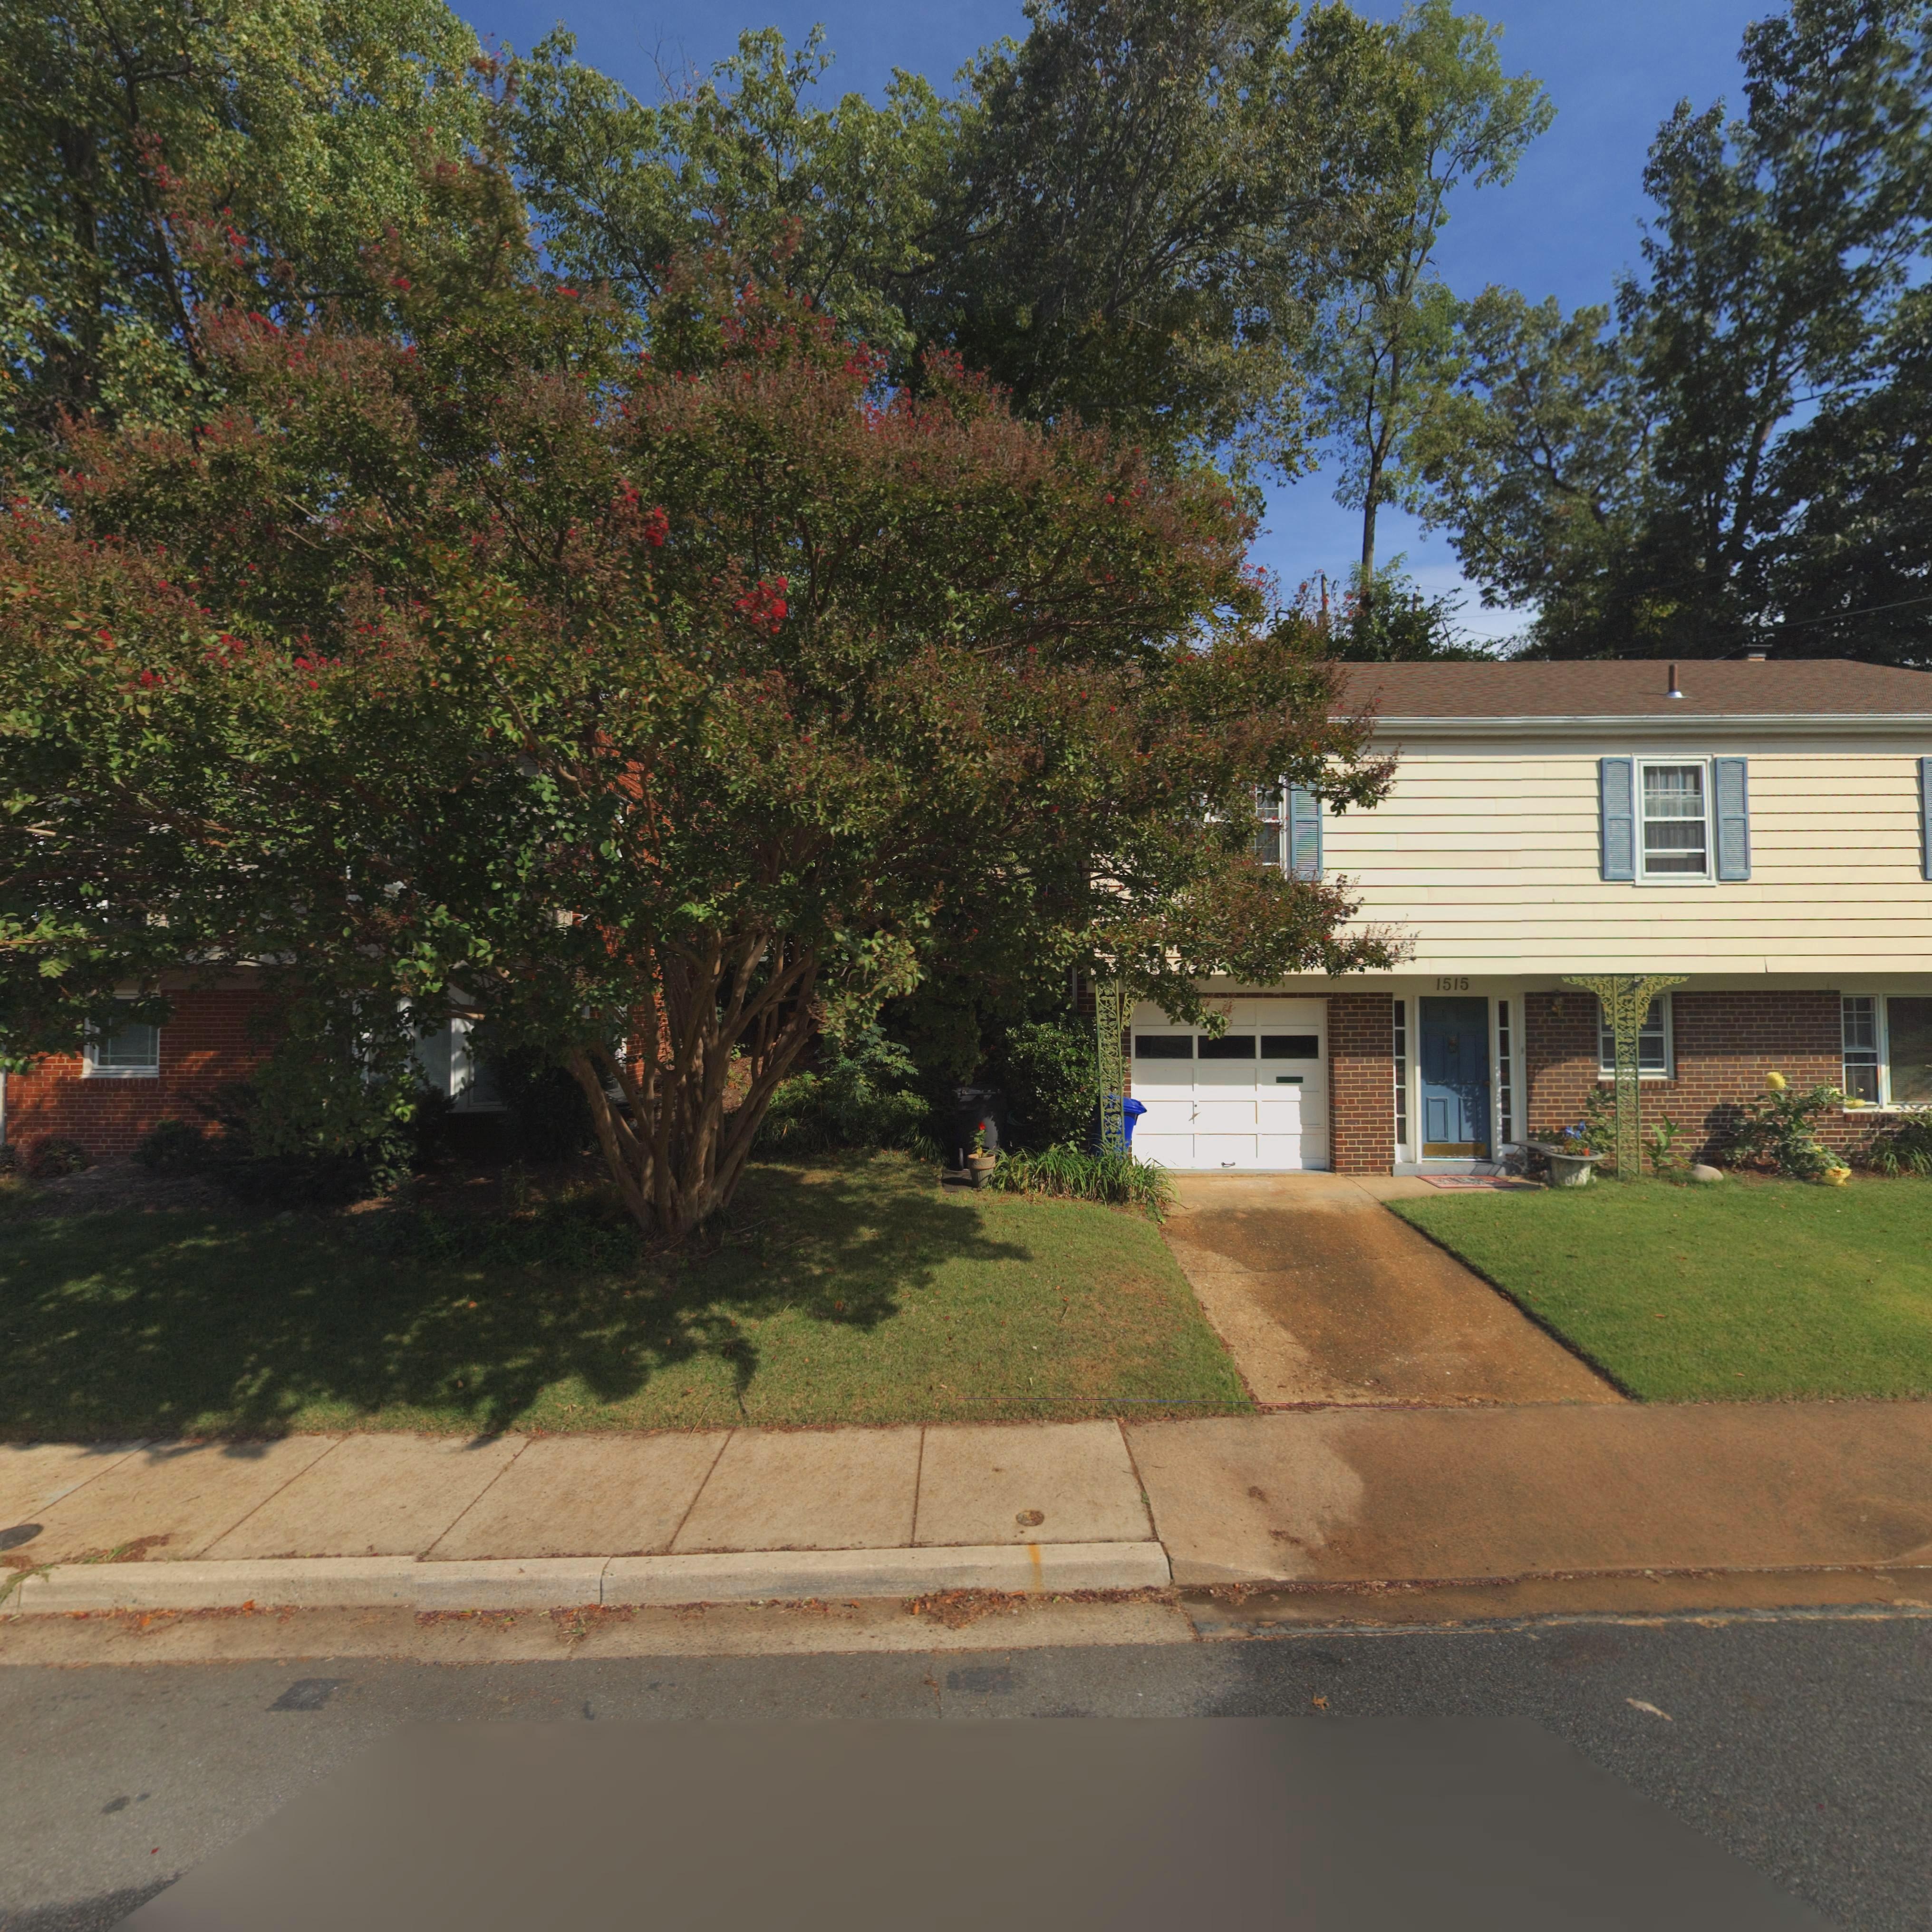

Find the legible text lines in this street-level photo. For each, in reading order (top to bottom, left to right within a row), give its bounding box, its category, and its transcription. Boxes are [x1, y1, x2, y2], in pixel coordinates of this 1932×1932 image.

[1436, 976, 1470, 992] StreetNumber: 1515